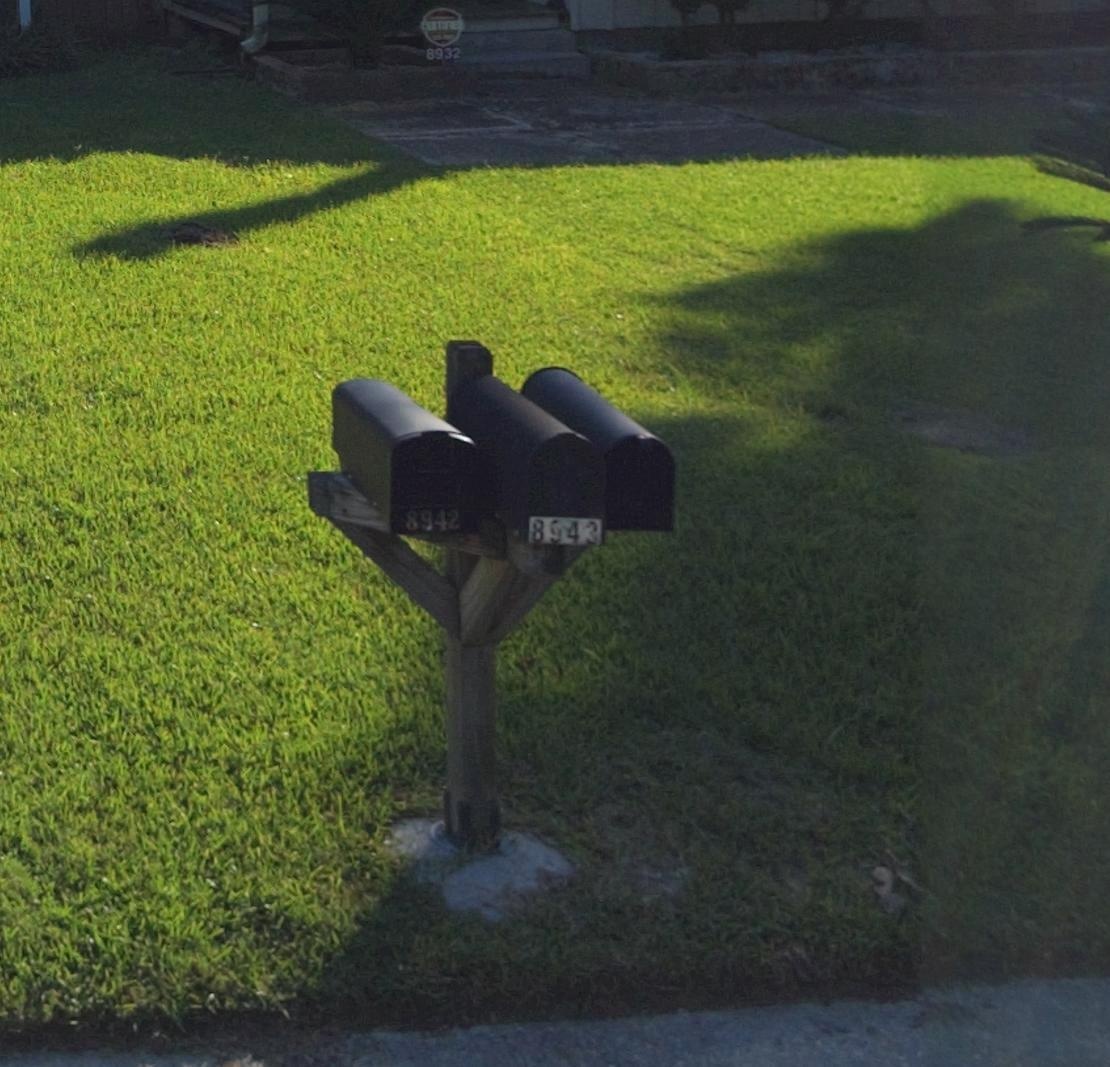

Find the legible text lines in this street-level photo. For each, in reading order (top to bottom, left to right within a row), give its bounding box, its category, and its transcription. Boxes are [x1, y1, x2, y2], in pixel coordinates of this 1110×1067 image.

[404, 508, 464, 532] StreetNumber: 8942
[530, 517, 600, 546] StreetNumber: 8943